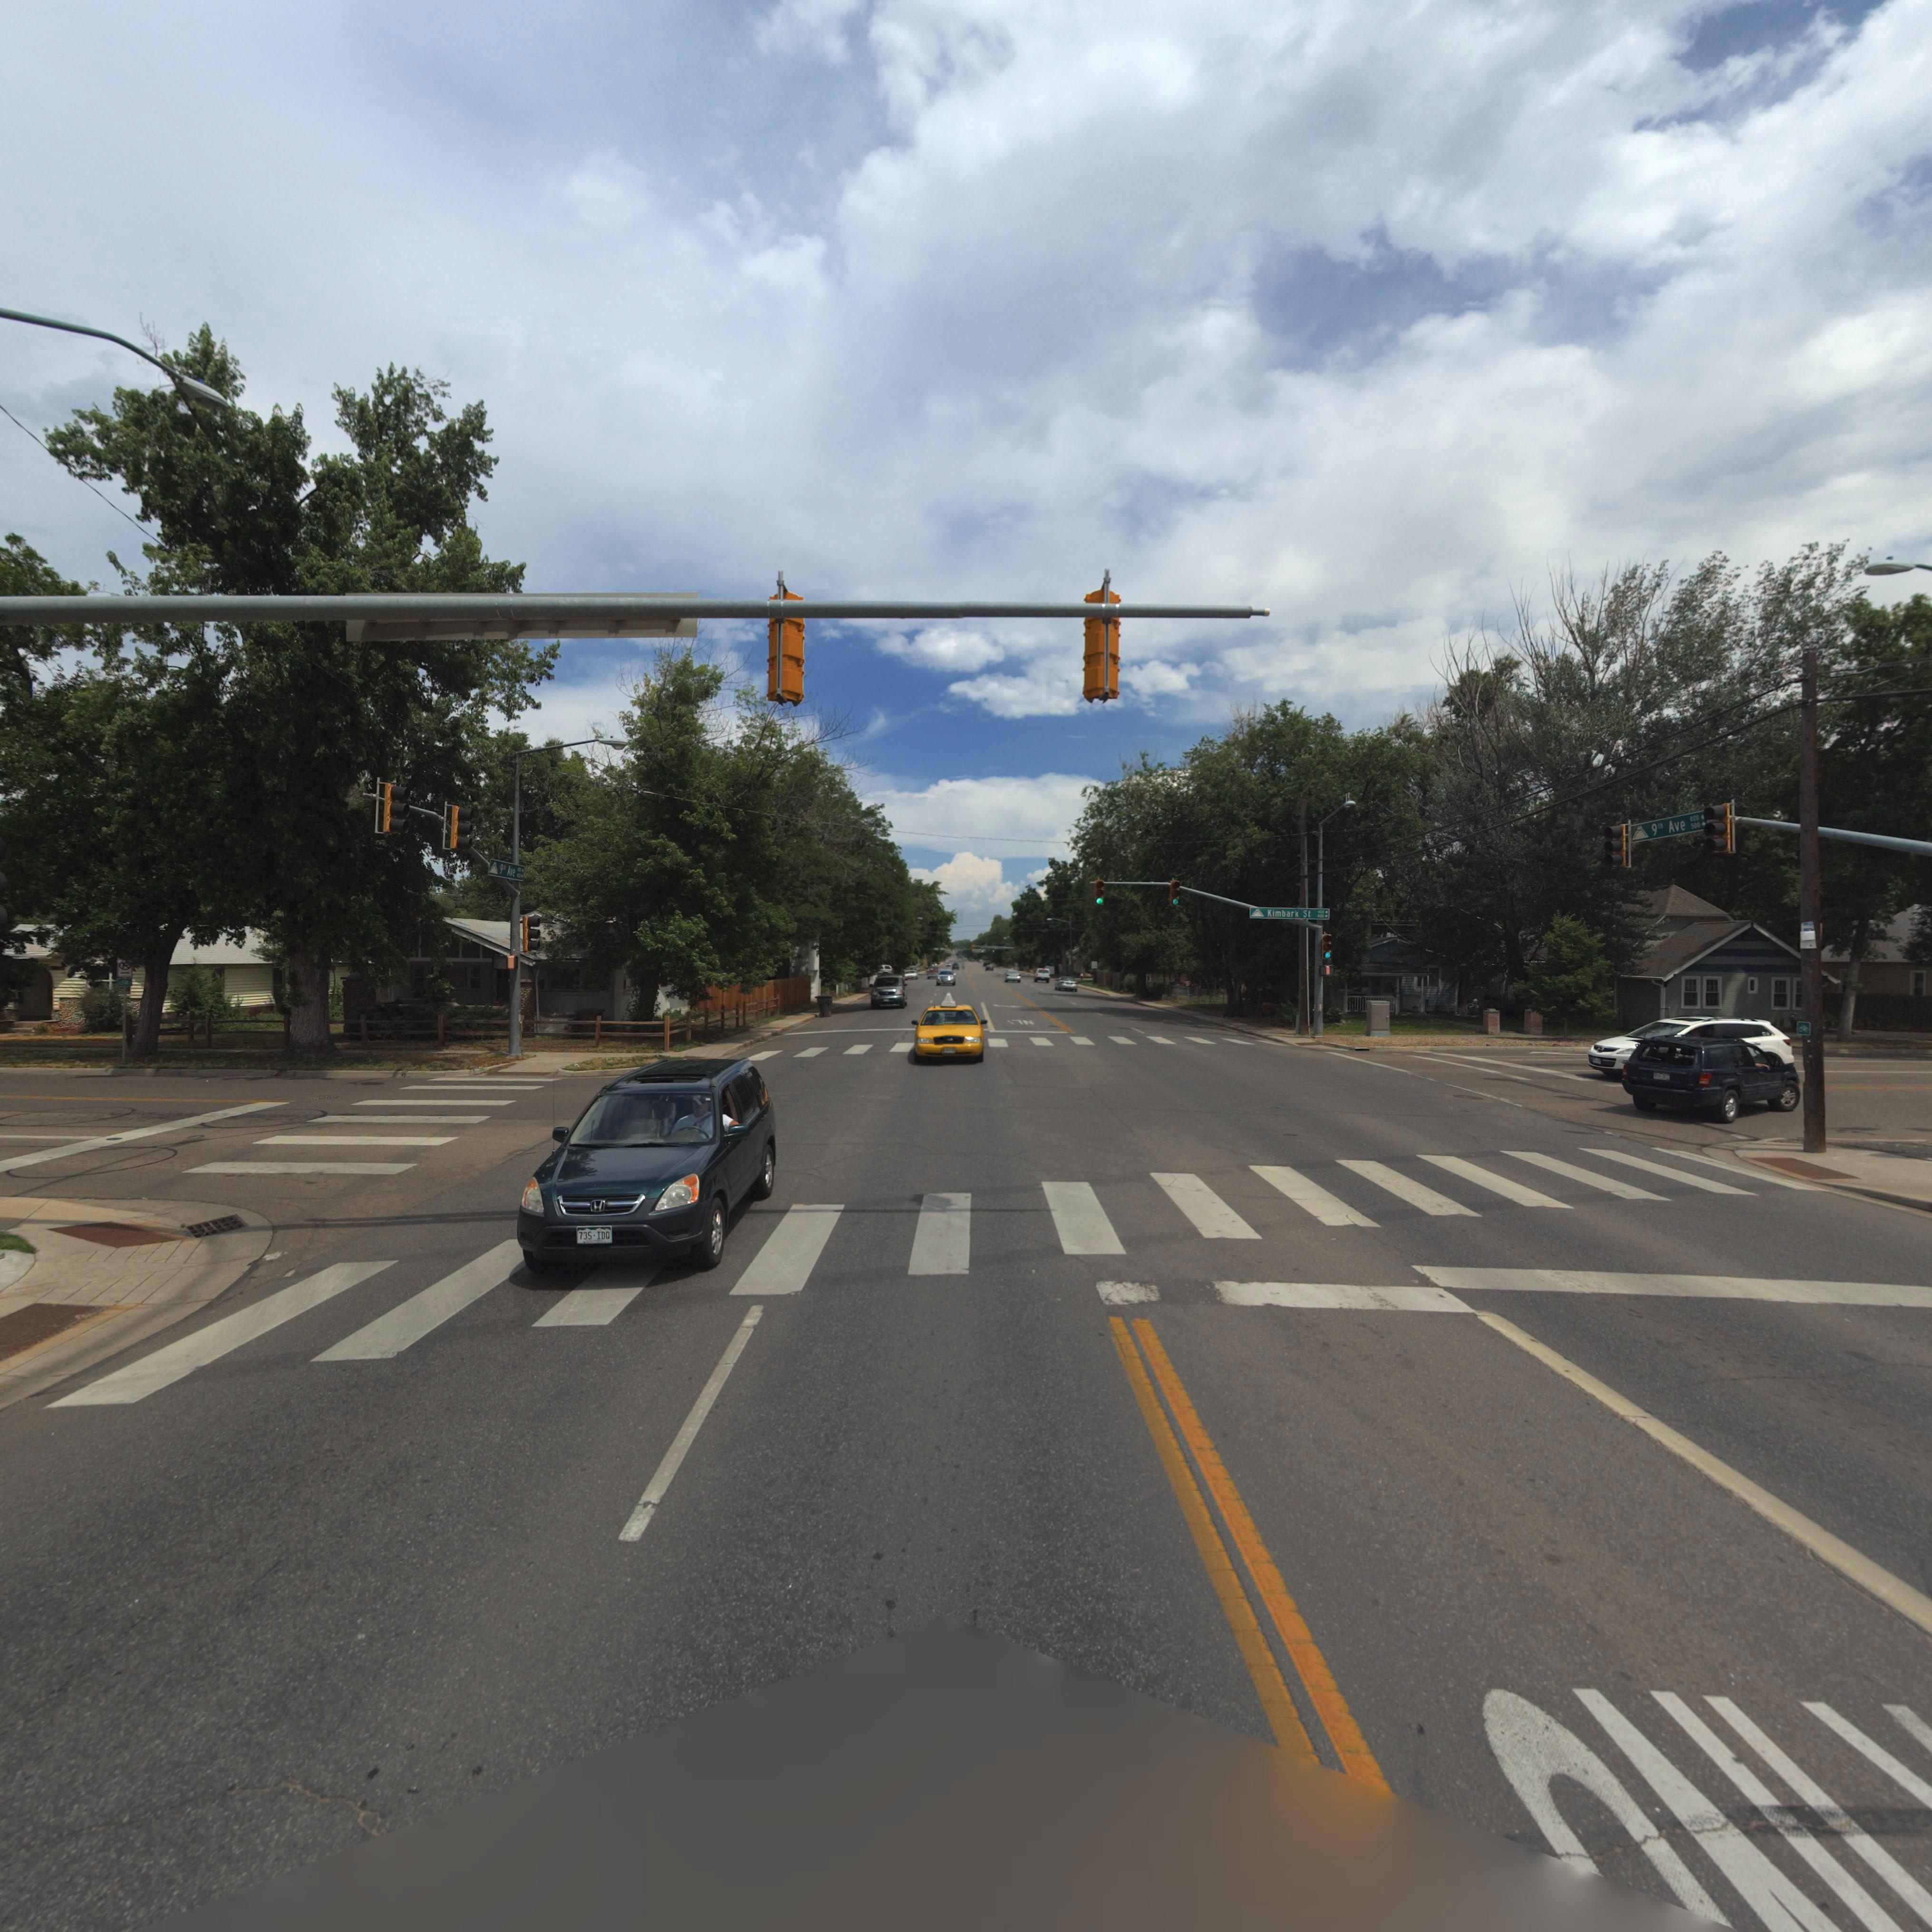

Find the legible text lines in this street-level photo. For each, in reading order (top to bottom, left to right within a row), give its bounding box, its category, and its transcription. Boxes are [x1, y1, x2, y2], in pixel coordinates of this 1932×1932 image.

[1689, 814, 1700, 822] StreetNumberRange: 800
[1652, 820, 1686, 836] StreetName: 9th Ave 
[1690, 821, 1706, 829] StreetNumberRange: 500->
[499, 863, 515, 877] StreetName: 9*** Ave
[1267, 909, 1311, 918] StreetName: Kimbark St
[1317, 910, 1323, 914] StreetNumberRange: 400